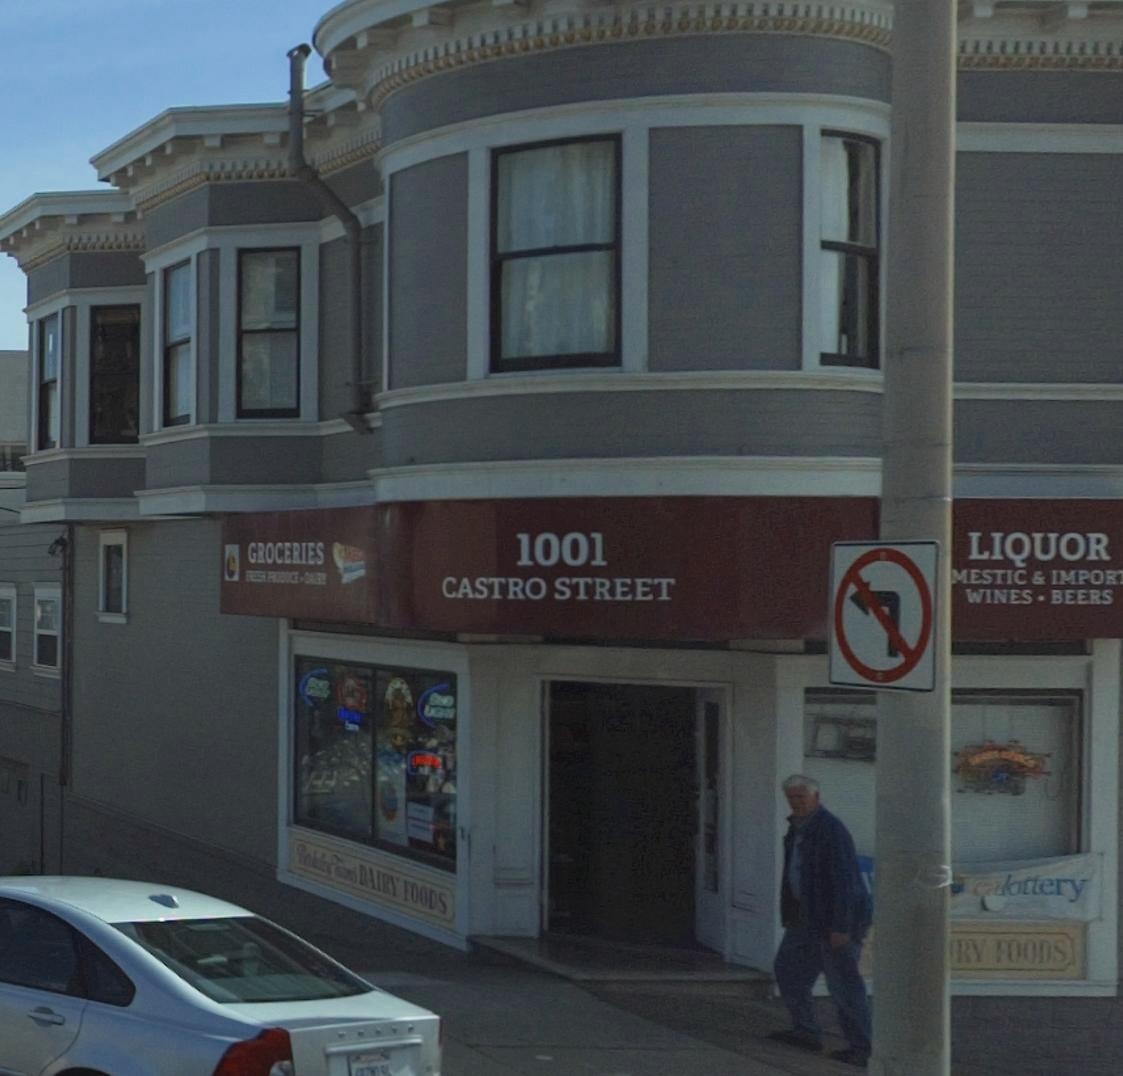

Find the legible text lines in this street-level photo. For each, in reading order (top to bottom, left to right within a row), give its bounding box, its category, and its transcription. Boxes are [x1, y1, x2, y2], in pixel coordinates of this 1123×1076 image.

[246, 540, 326, 568] None: GROCERIES
[513, 530, 610, 569] StreetNumber: 1001
[963, 528, 1115, 570] None: LIQUOR
[243, 568, 329, 587] None: FRESH PRODUCE * DAIRY
[440, 574, 678, 603] StreetName: CASTRO STREET
[947, 567, 1123, 587] None: MESTIC & IMPOR*
[963, 586, 1116, 608] None: WINES * BEERS
[422, 703, 458, 720] None: LIGHT
[427, 690, 458, 707] None: BUD
[357, 861, 449, 918] BusinessName: DAIRY FOODS
[999, 872, 1091, 907] None: lottery
[942, 937, 1072, 967] BusinessName: IRY FOODS